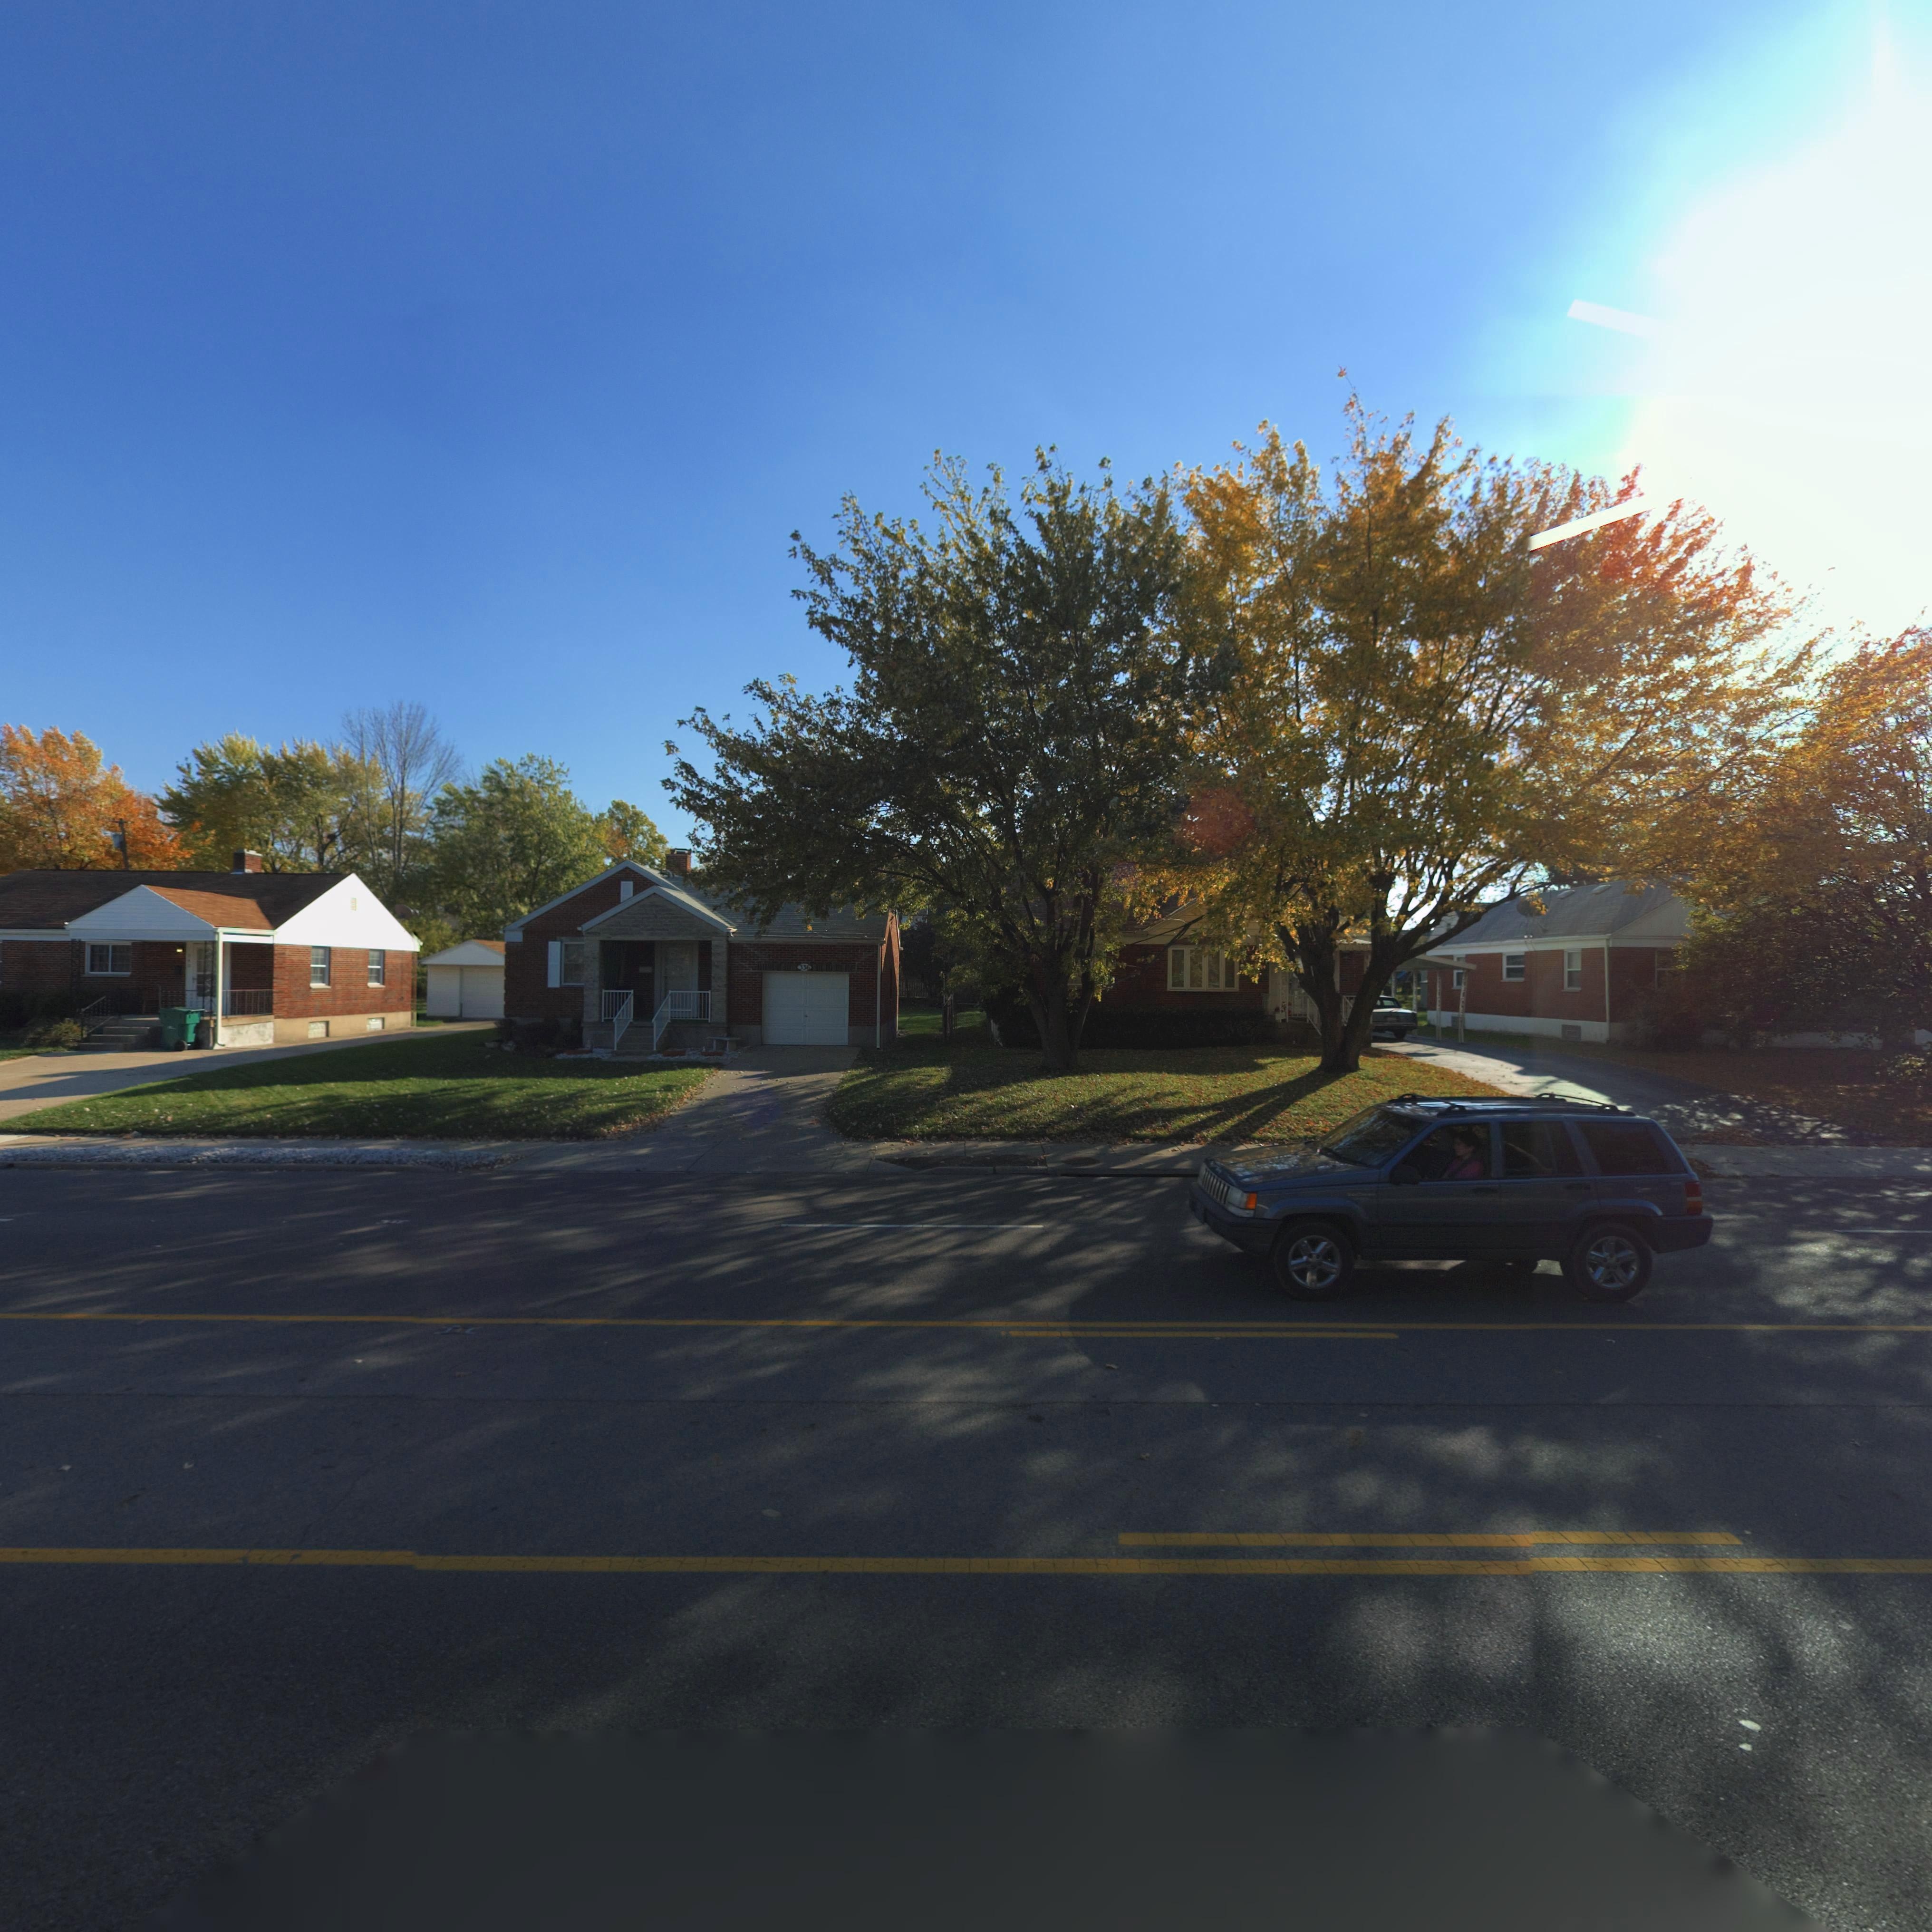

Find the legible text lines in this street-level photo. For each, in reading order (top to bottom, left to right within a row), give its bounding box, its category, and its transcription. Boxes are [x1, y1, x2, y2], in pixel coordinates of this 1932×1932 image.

[798, 964, 811, 971] StreetNumber: 33*